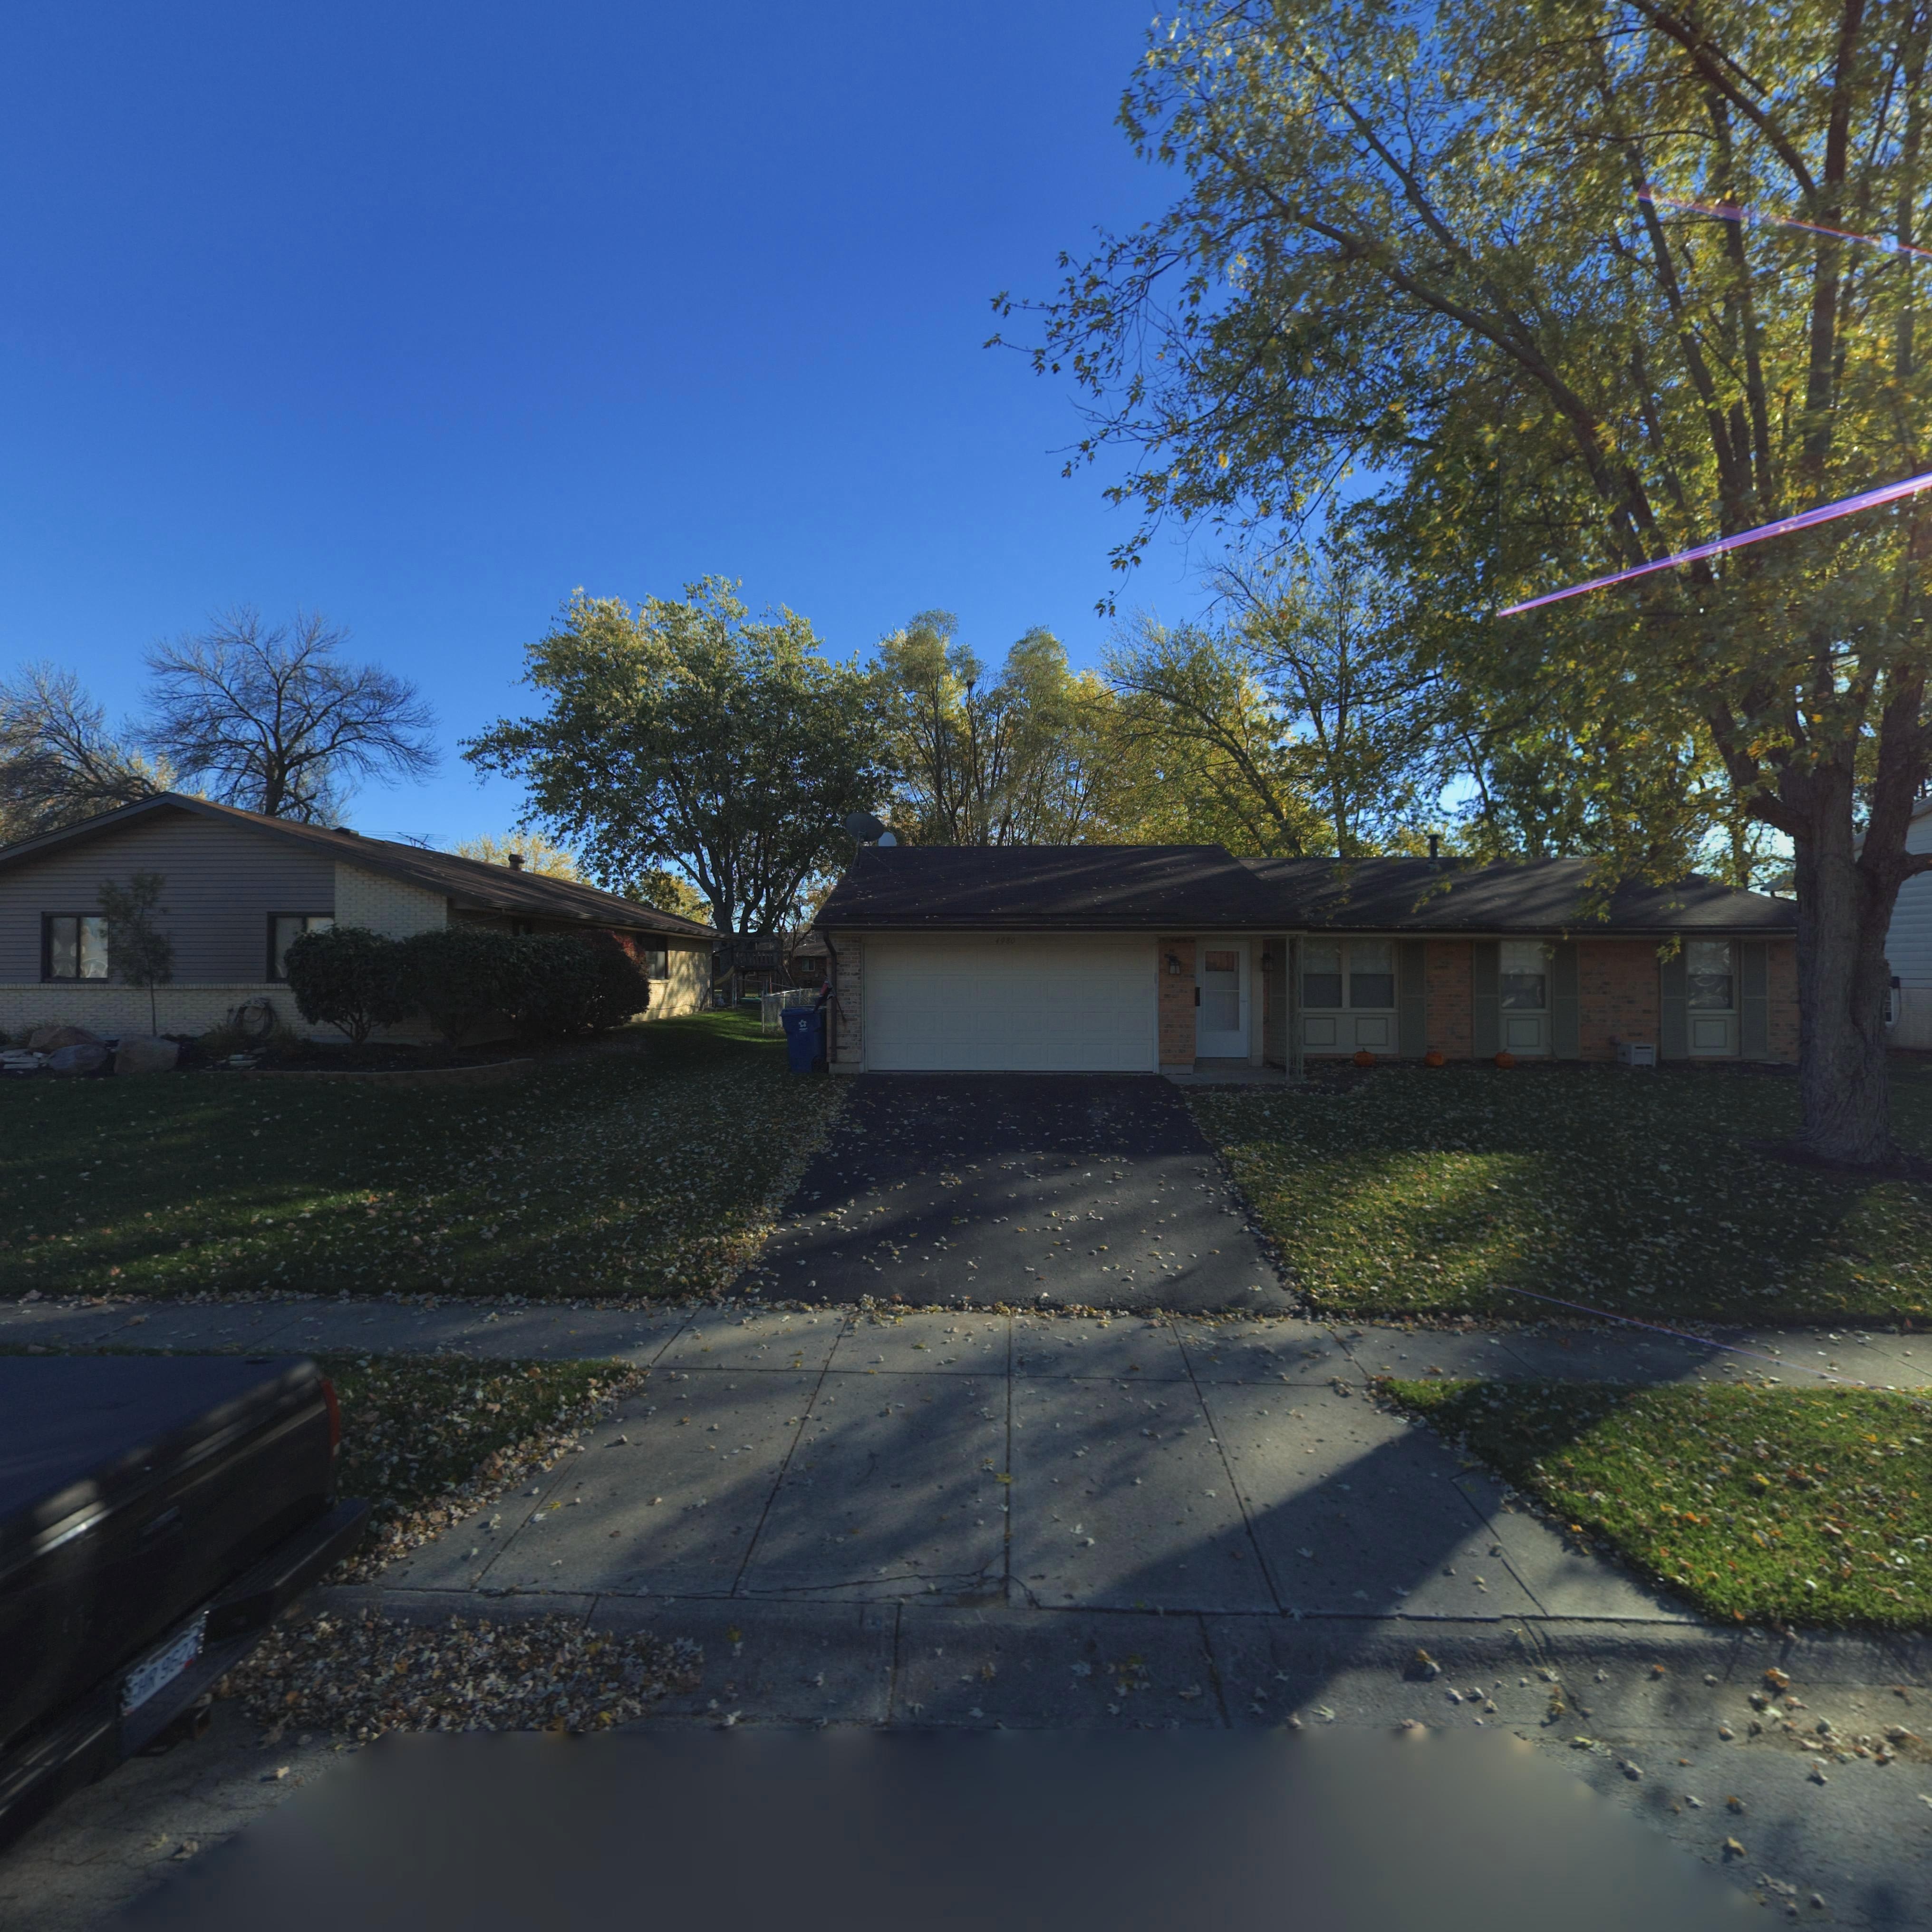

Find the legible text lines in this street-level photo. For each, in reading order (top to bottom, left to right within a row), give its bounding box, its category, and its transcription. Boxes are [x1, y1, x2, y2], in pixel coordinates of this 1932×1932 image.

[995, 937, 1016, 945] StreetNumber: 4980